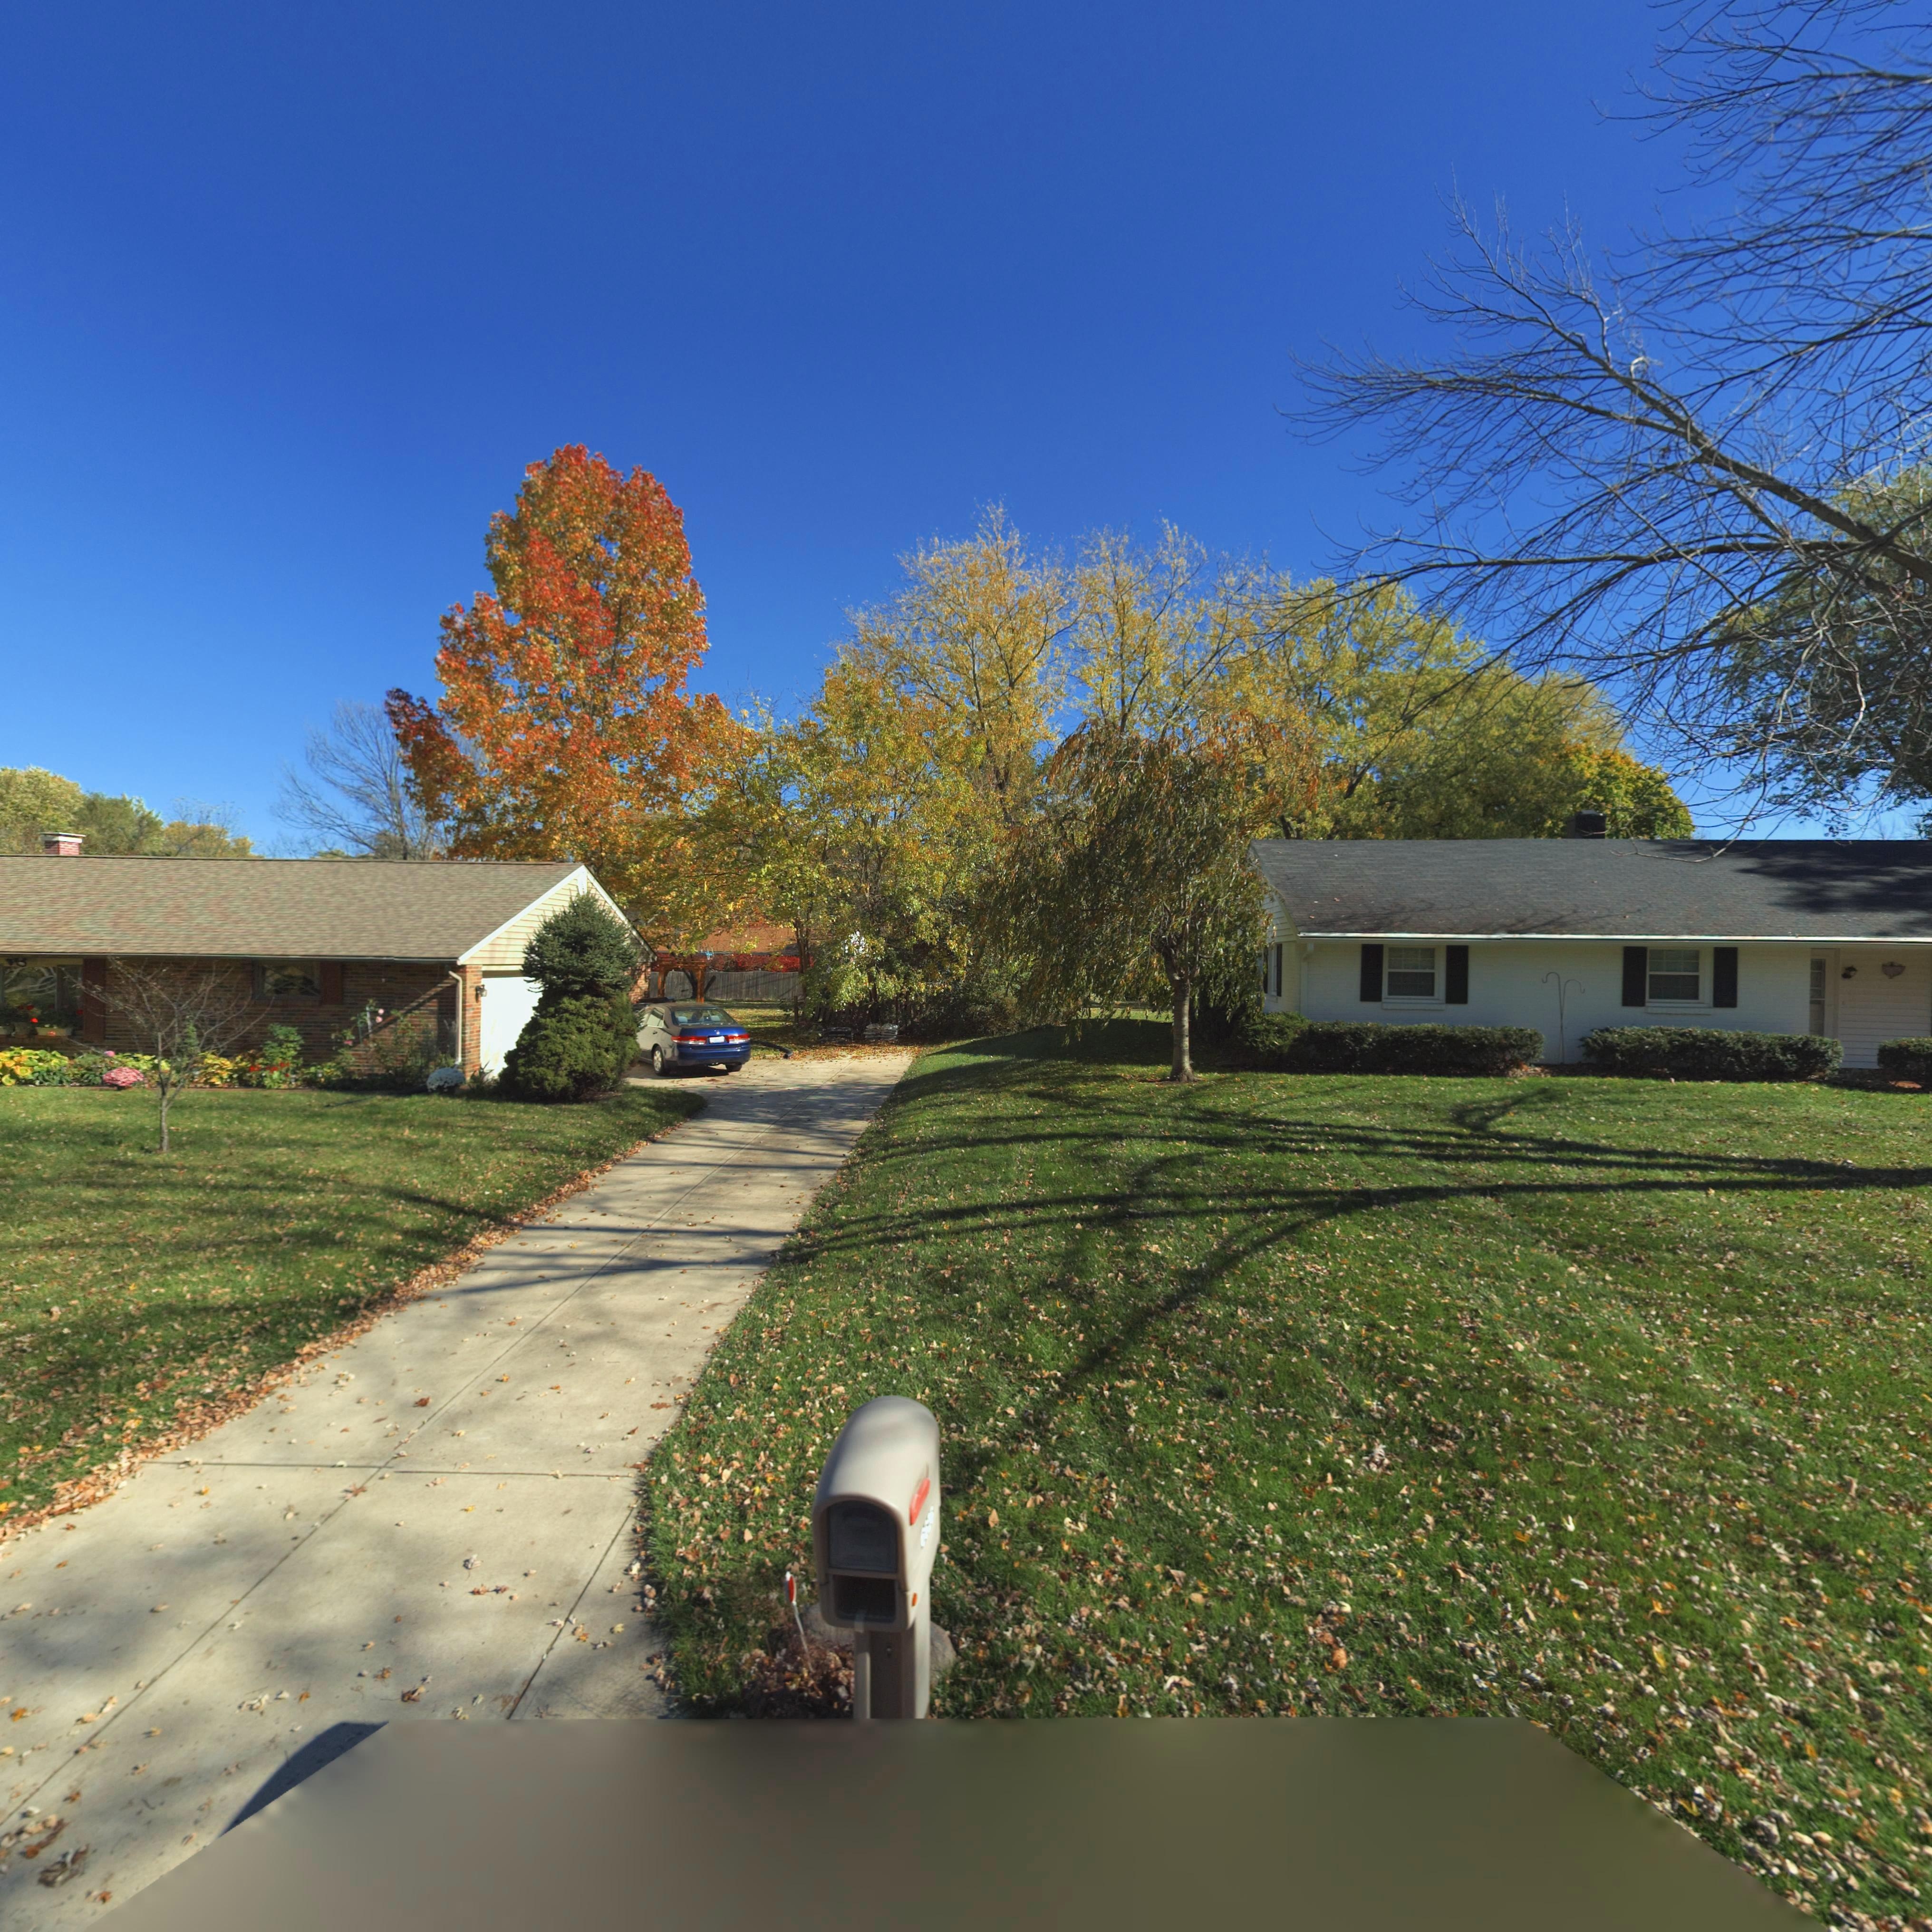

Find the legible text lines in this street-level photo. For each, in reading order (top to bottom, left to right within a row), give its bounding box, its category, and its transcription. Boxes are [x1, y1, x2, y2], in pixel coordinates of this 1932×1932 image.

[919, 1504, 935, 1548] StreetNumber: 66**